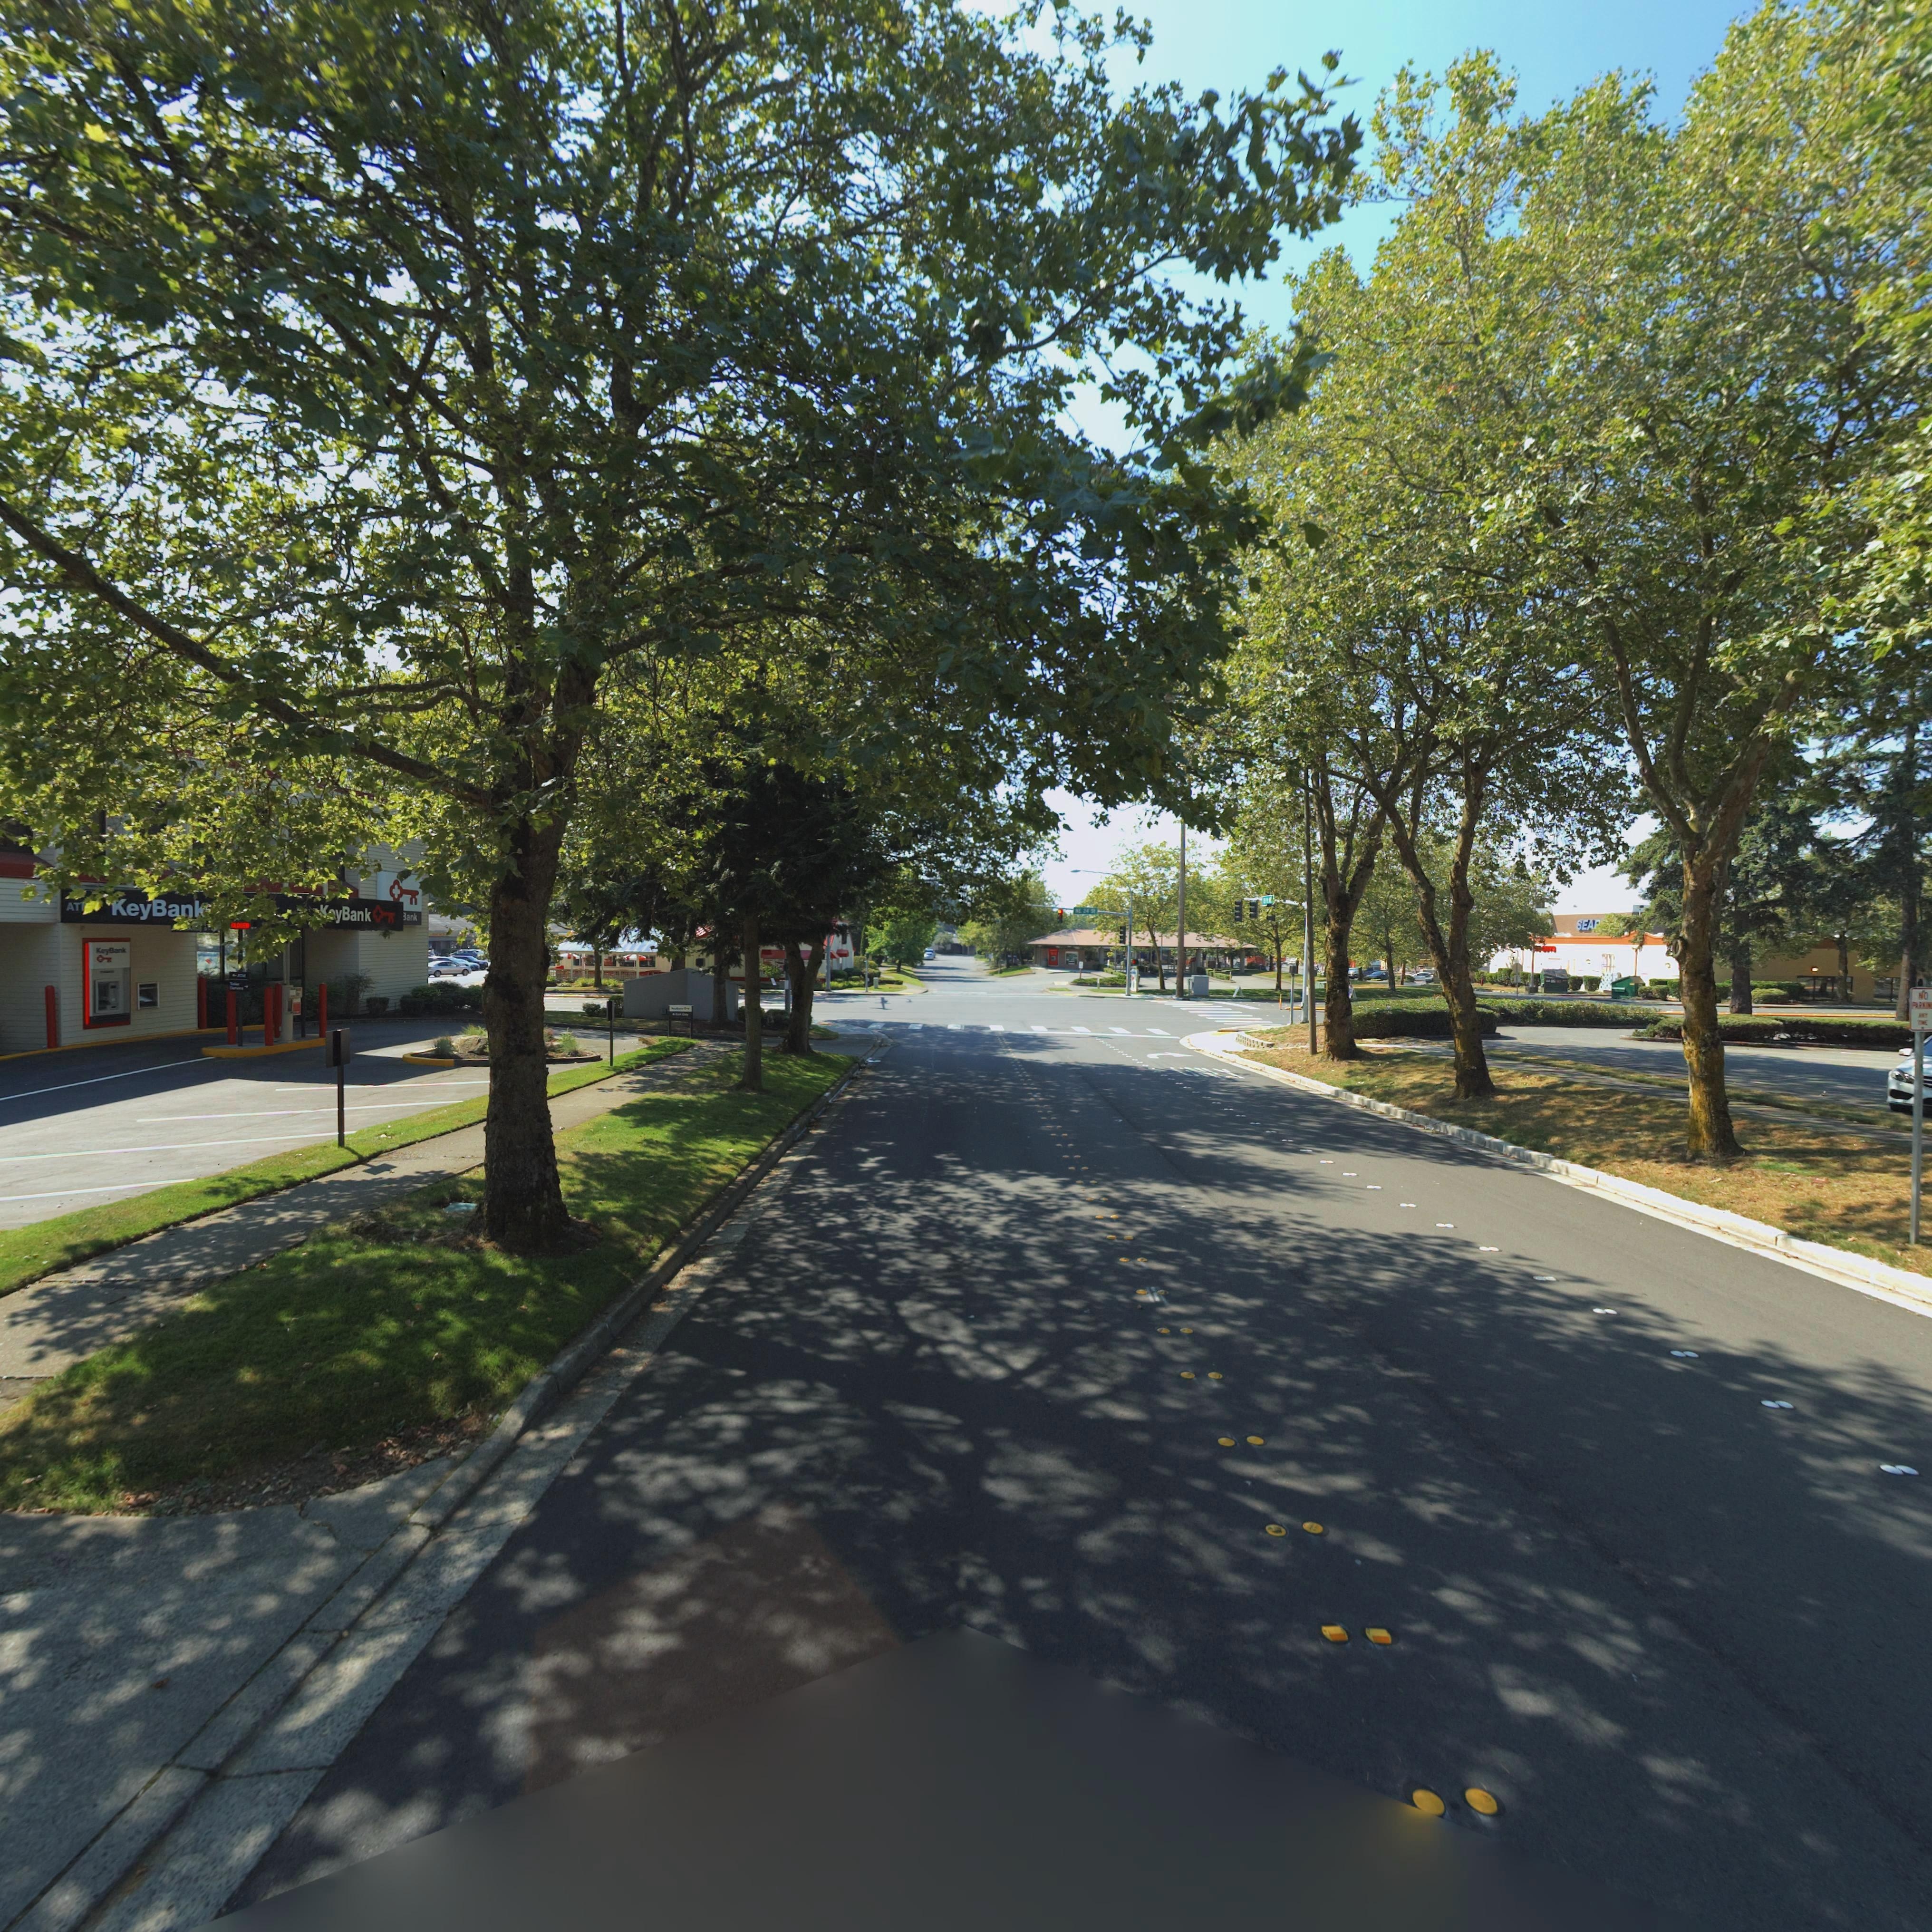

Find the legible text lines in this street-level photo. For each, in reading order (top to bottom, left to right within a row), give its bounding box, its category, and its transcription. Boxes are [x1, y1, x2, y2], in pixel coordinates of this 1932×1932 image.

[112, 899, 212, 919] BusinessName: *eyB*
[320, 905, 371, 923] BusinessName: *nk
[403, 912, 417, 921] BusinessName: *ank
[1075, 908, 1095, 913] StreetName: *E 24 St
[1576, 919, 1600, 930] BusinessName: SEA*
[96, 947, 126, 955] BusinessName: KeyBank